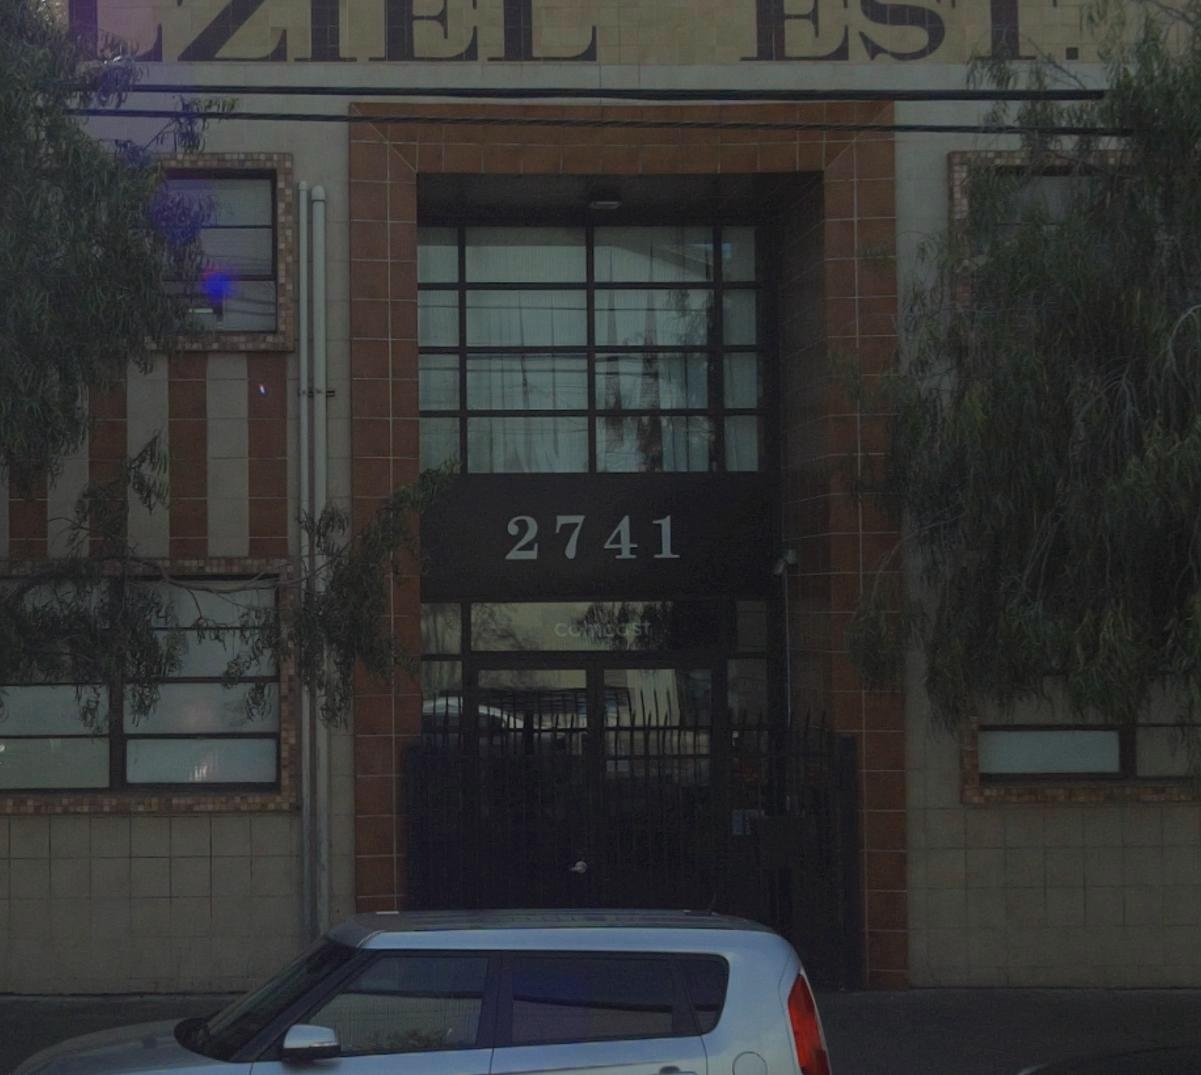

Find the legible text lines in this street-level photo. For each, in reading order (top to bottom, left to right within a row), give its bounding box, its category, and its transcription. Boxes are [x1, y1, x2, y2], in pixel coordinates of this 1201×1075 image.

[499, 510, 685, 564] StreetNumber: 2741
[552, 616, 654, 640] BusinessName: comcast